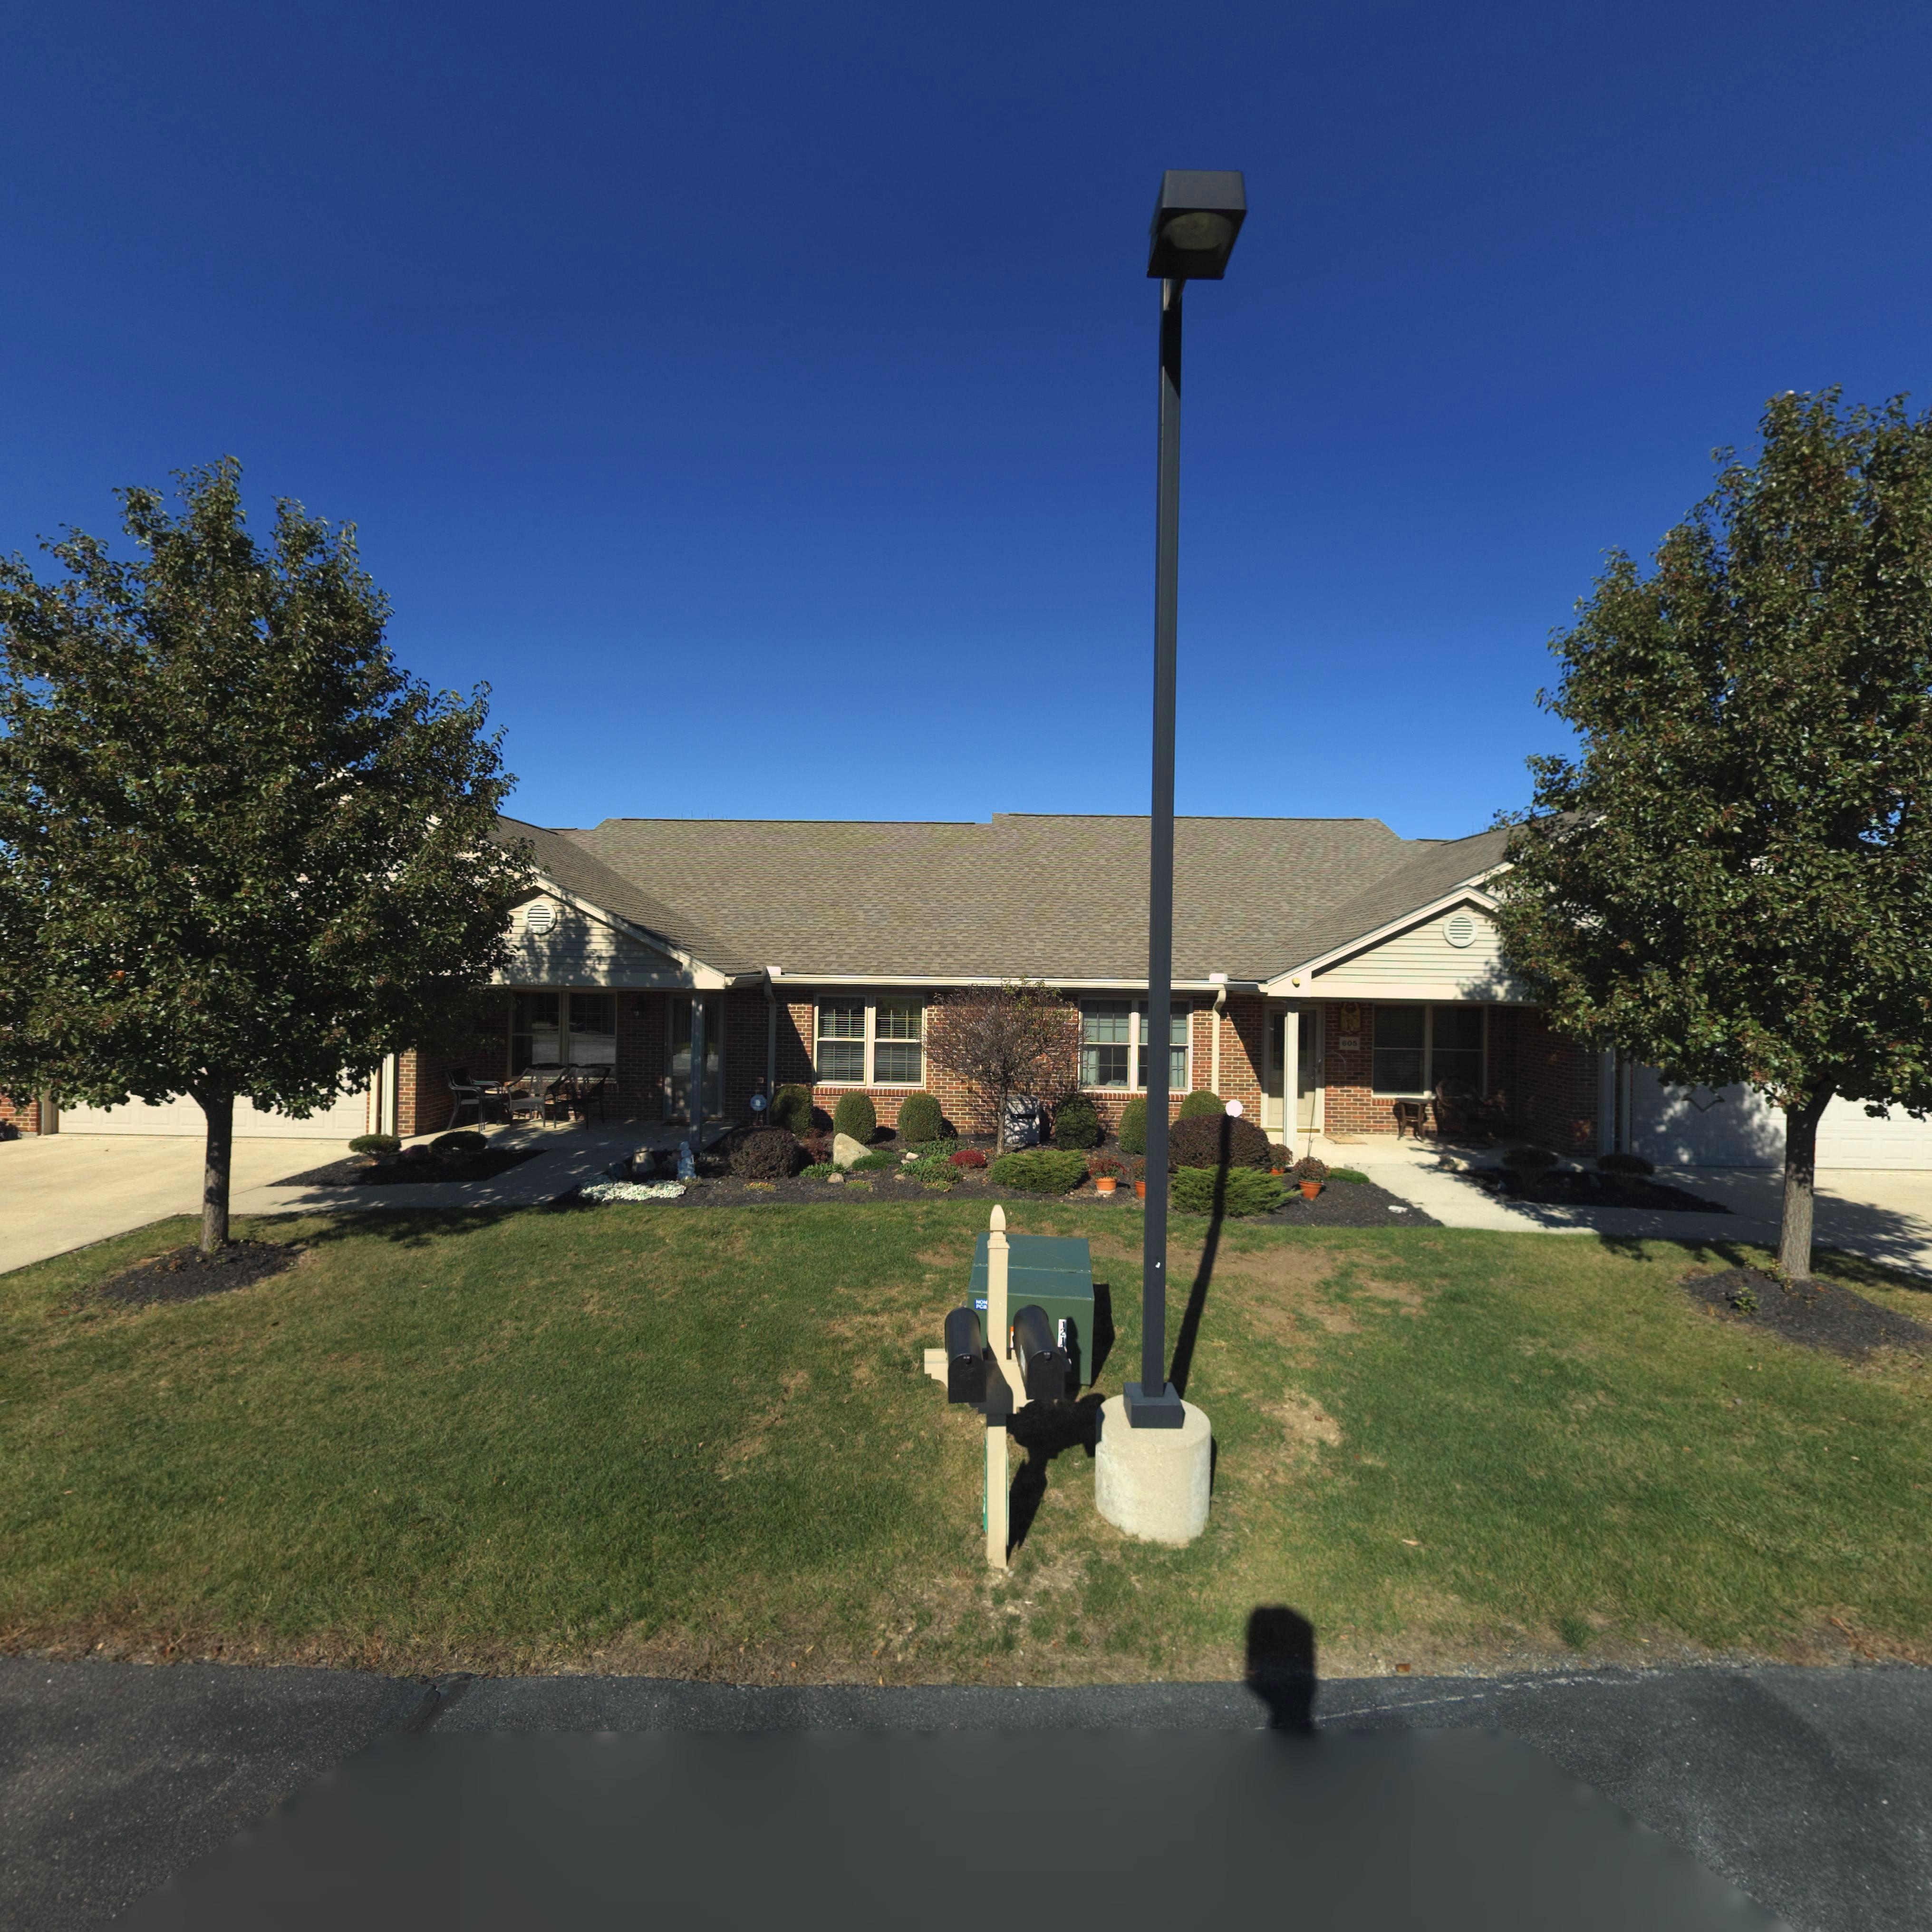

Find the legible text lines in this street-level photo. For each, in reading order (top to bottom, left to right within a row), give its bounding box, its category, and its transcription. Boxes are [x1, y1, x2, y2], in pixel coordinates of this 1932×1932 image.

[1342, 1040, 1357, 1046] StreetNumber: 605